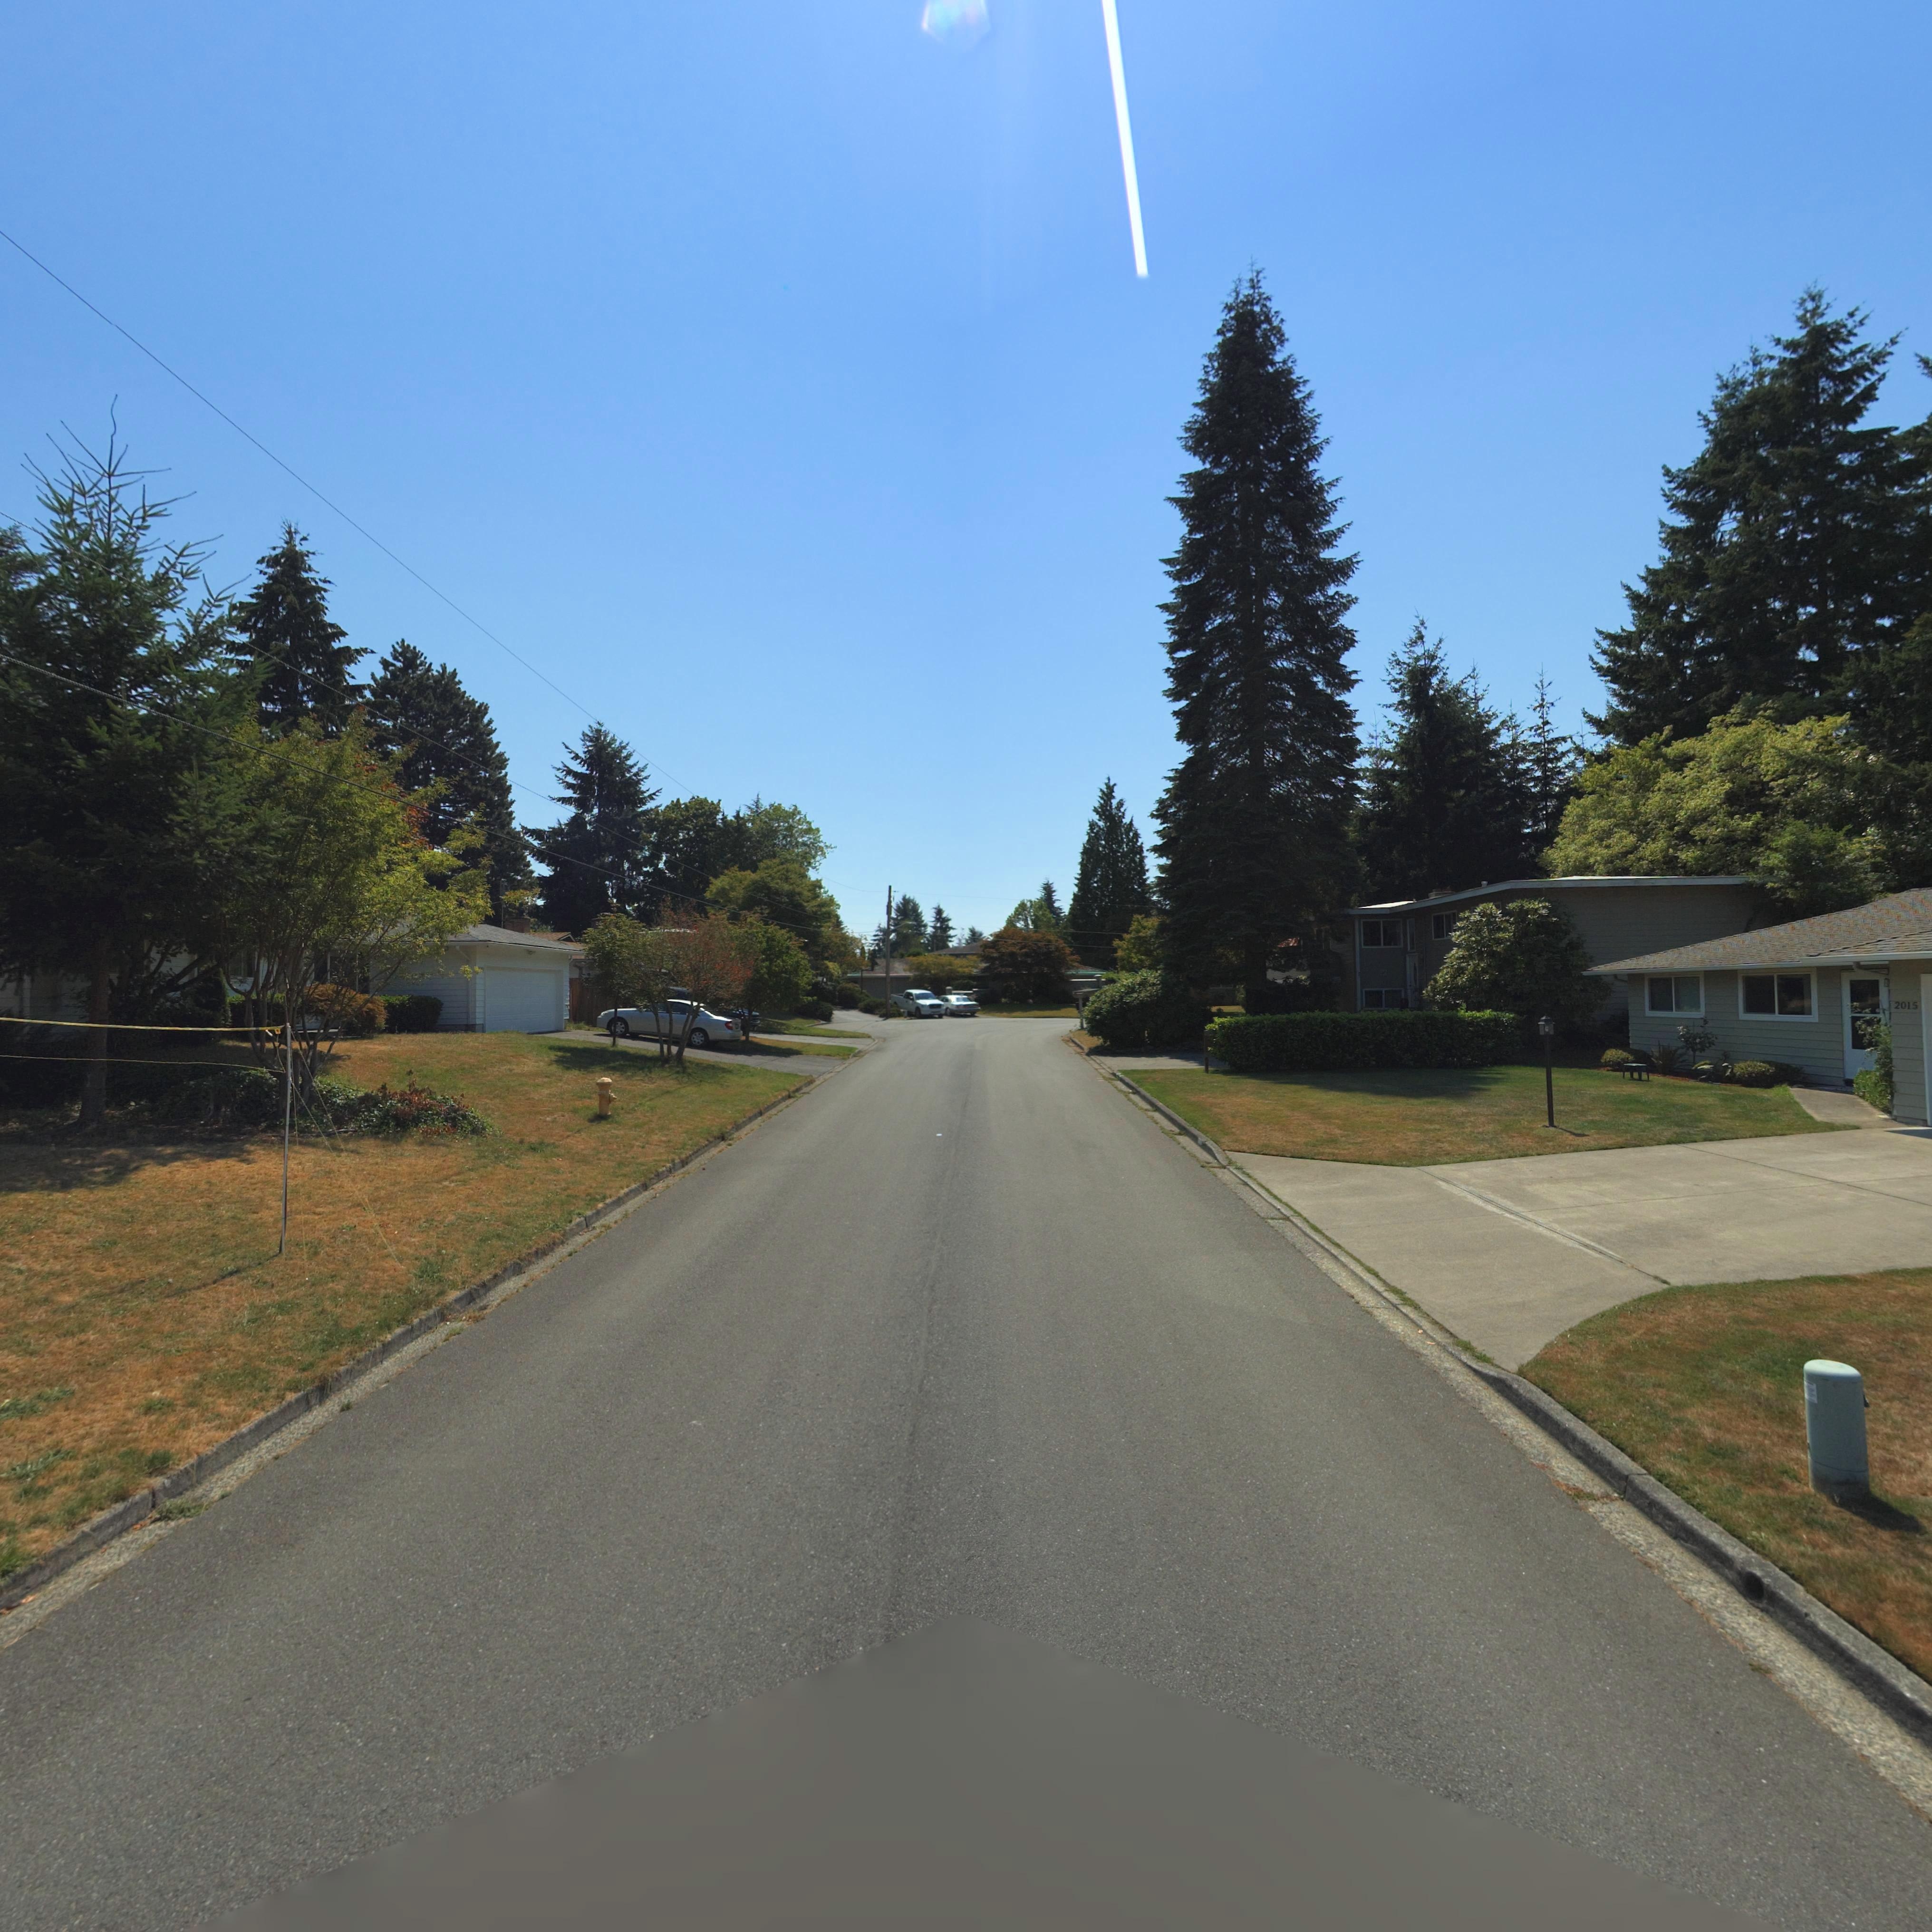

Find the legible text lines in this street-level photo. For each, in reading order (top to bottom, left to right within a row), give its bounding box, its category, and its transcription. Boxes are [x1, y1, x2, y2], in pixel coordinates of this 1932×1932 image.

[1894, 1001, 1918, 1010] StreetNumber: 2015